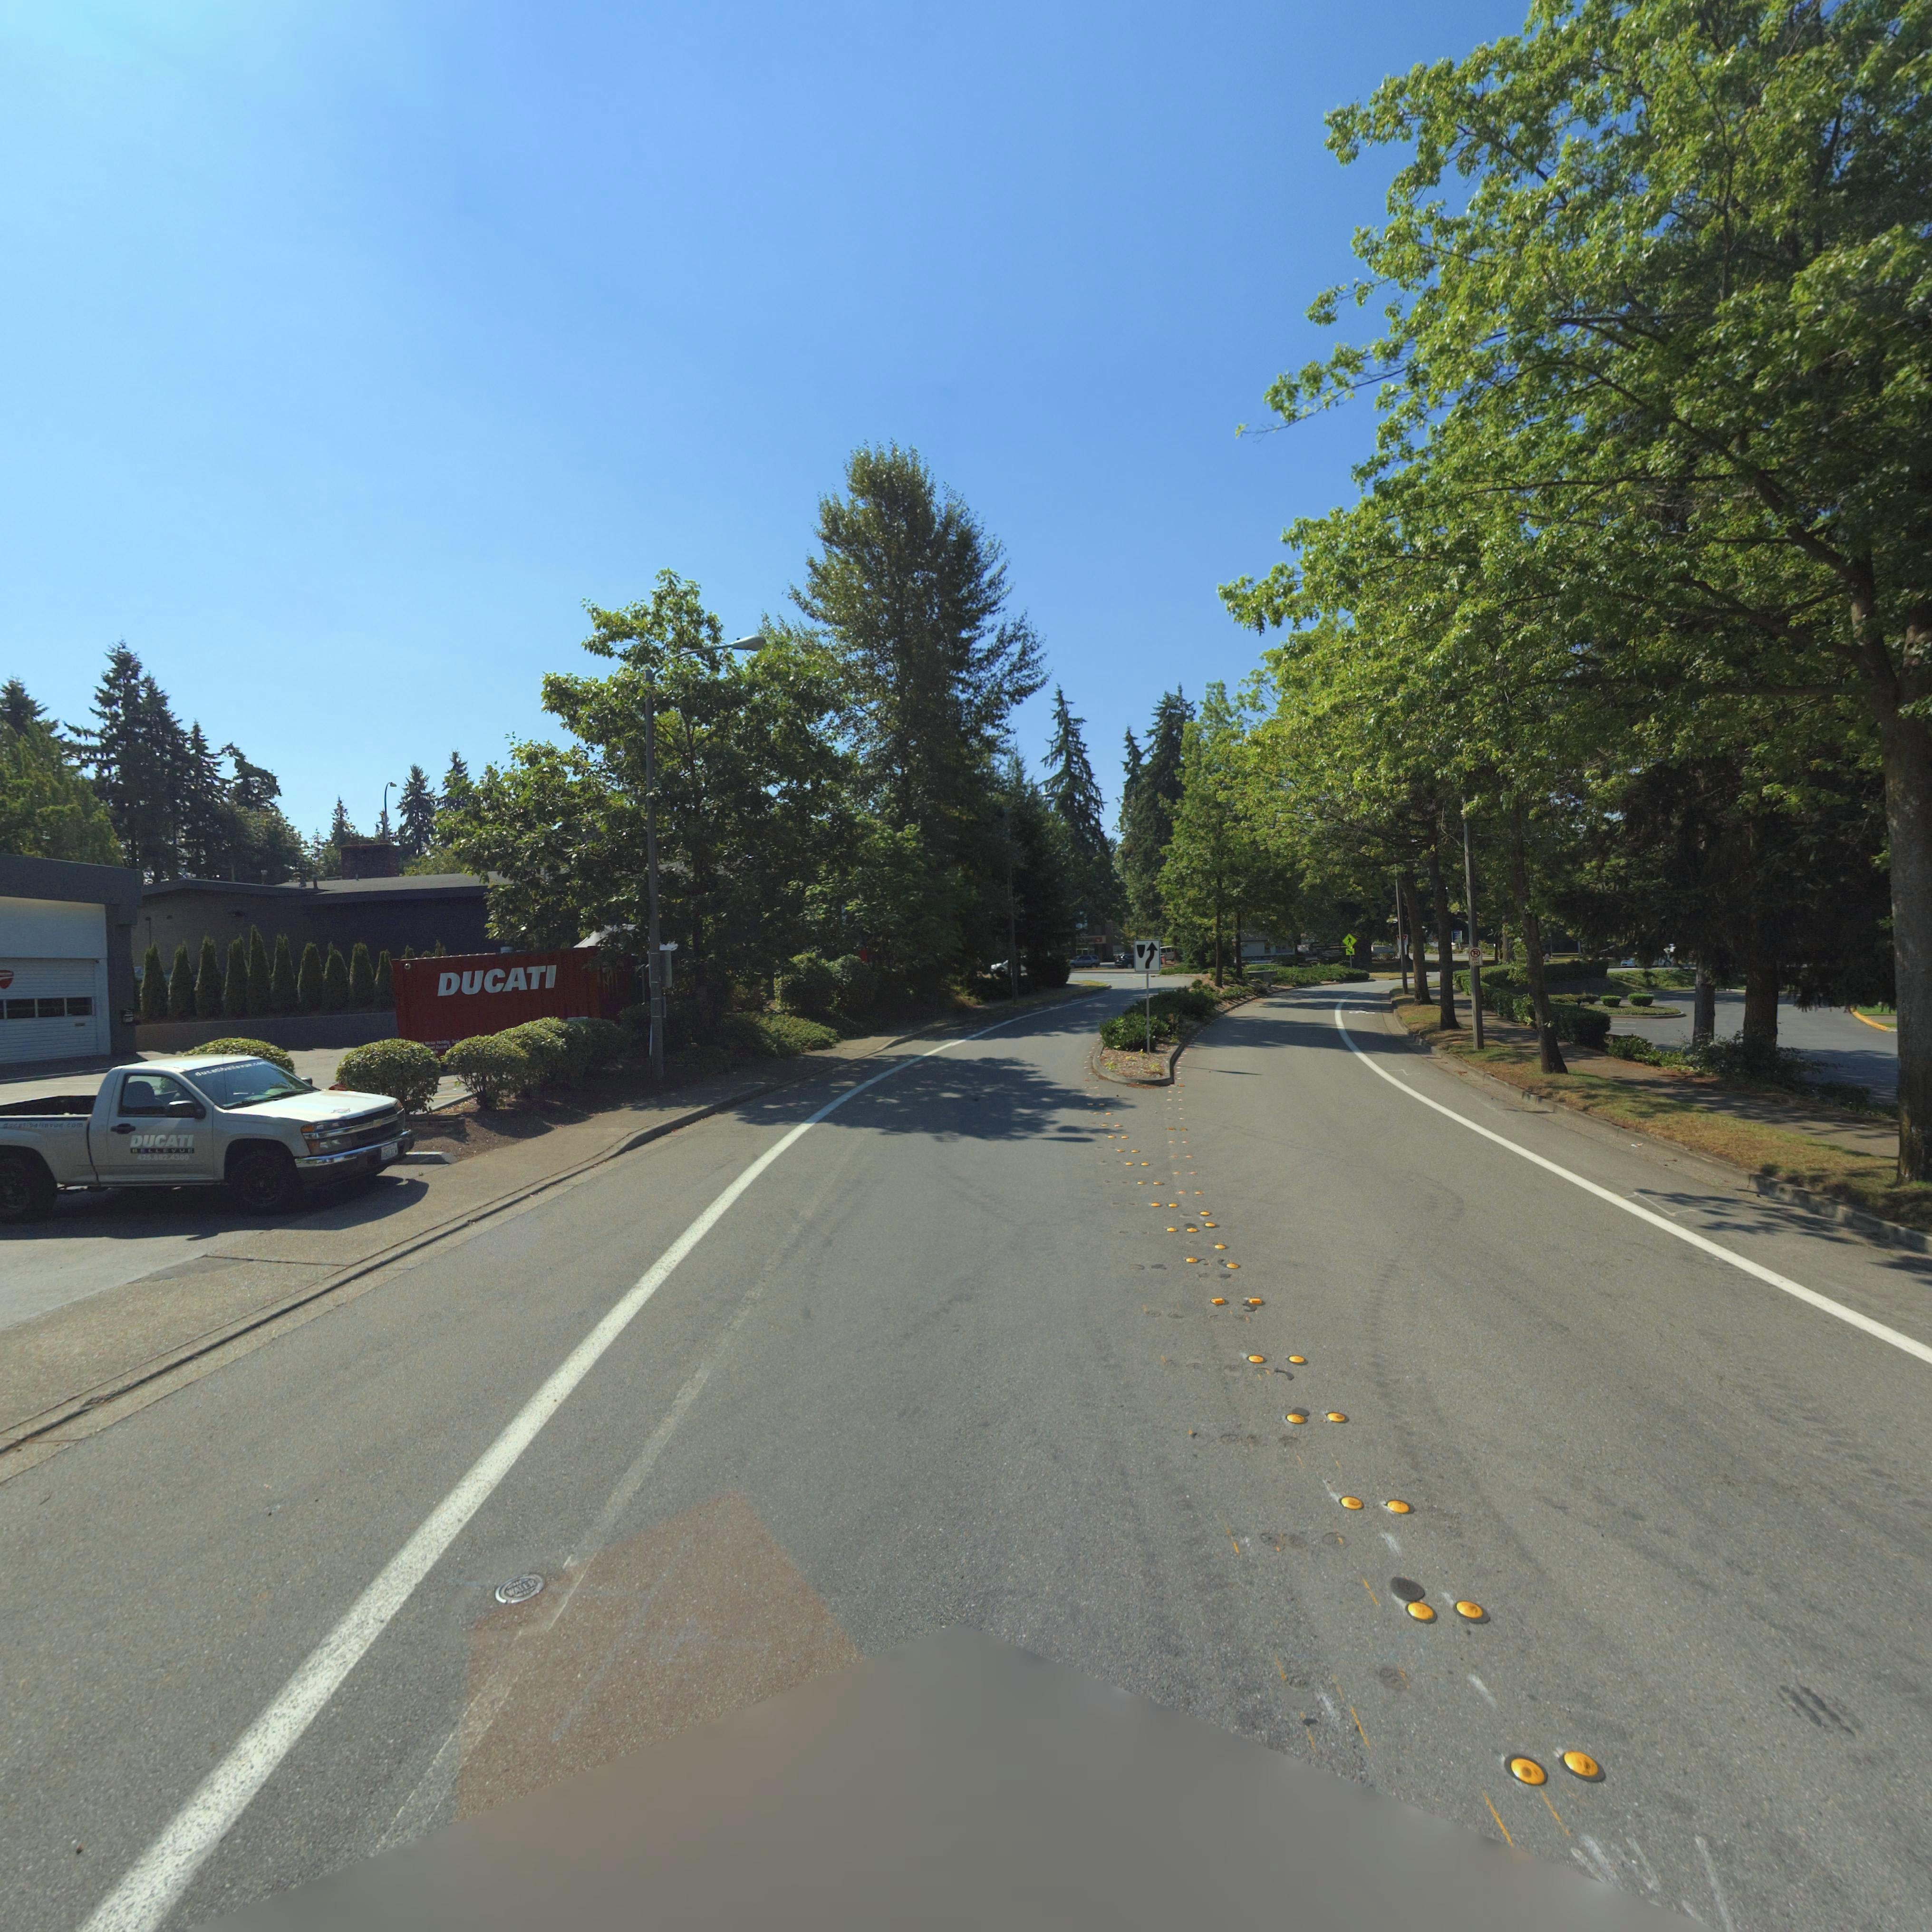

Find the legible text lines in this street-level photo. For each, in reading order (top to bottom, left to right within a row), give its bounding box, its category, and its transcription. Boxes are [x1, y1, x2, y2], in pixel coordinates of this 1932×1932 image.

[437, 964, 558, 996] BusinessName: DUCATI
[130, 1134, 194, 1147] BusinessName: DUCAT